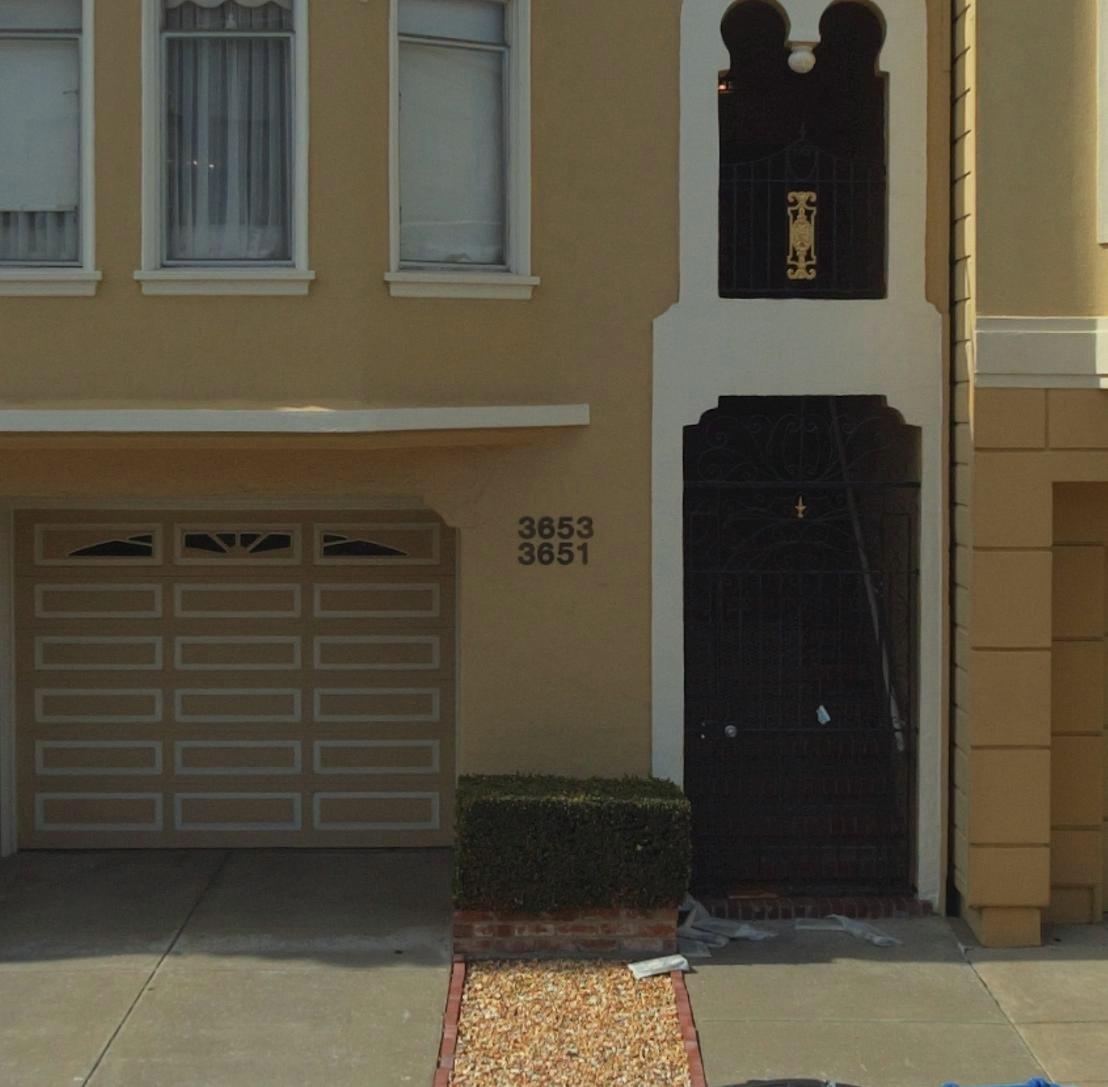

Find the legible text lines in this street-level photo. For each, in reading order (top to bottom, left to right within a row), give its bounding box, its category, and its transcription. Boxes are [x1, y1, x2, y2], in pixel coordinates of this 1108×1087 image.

[515, 514, 596, 542] StreetNumber: 3653
[516, 540, 590, 567] StreetNumber: 3651